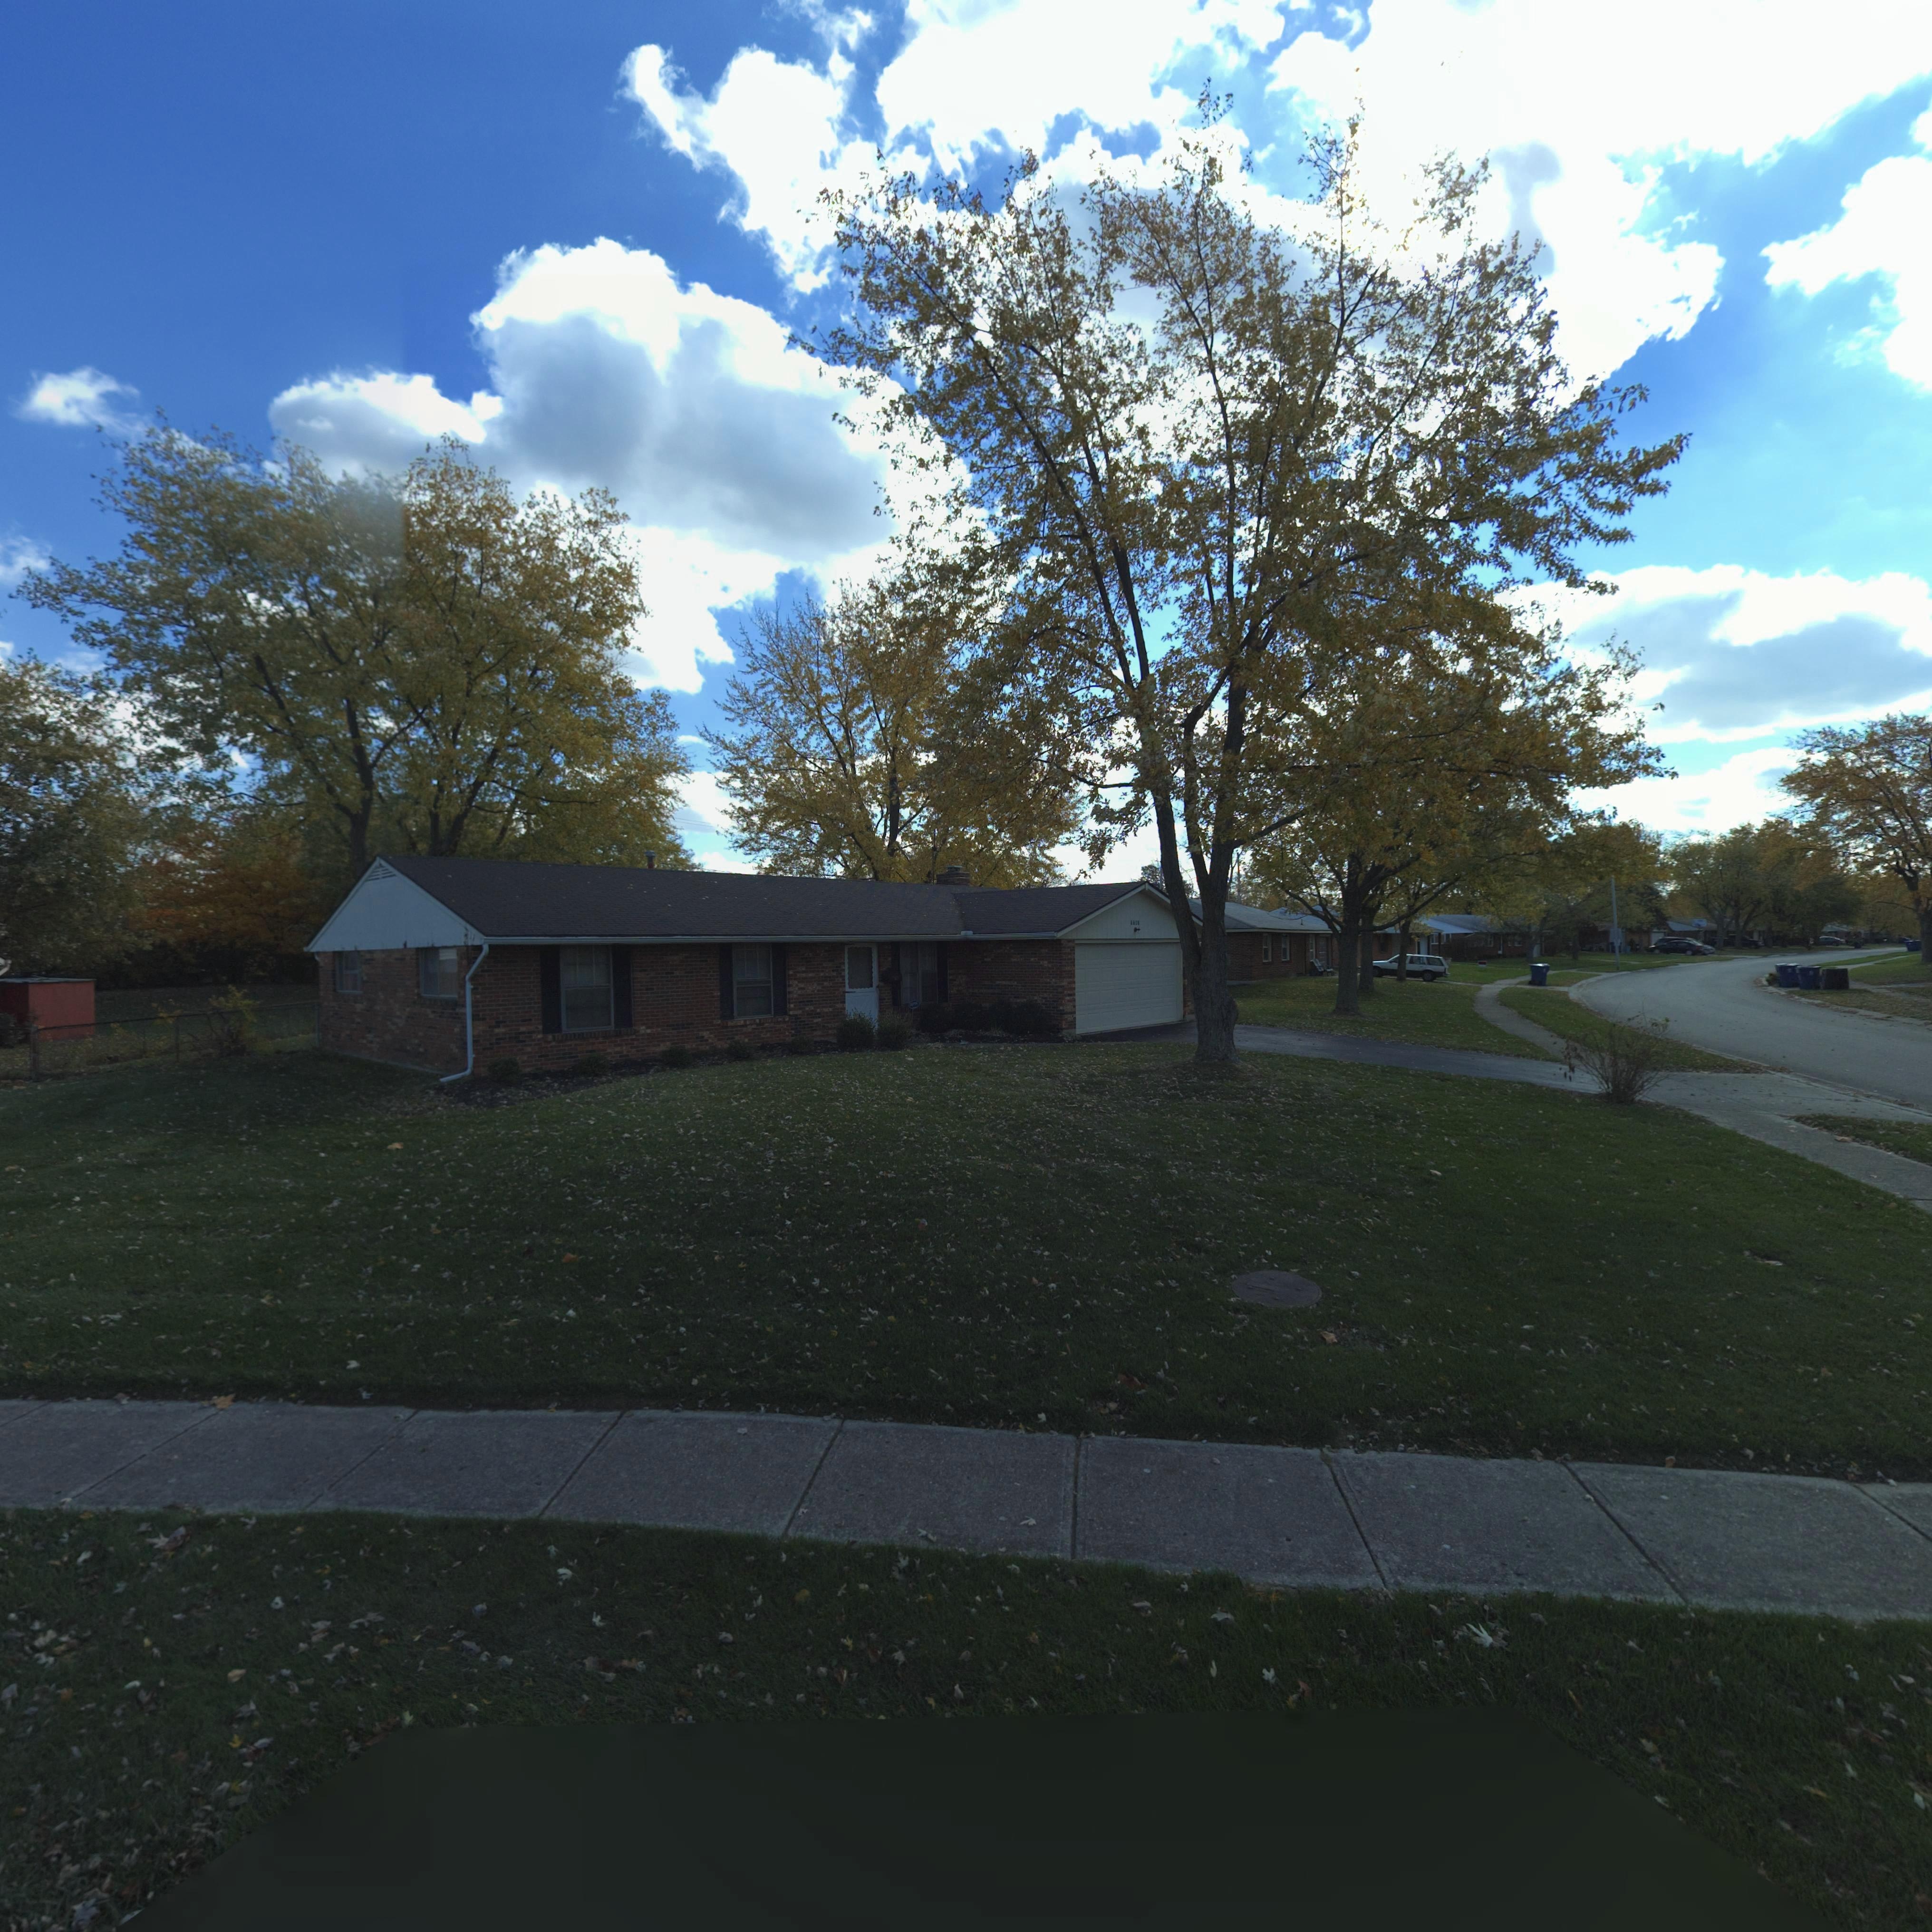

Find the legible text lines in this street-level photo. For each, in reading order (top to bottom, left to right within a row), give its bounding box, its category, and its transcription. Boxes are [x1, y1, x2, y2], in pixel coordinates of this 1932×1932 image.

[1130, 920, 1140, 925] StreetNumber: 77**